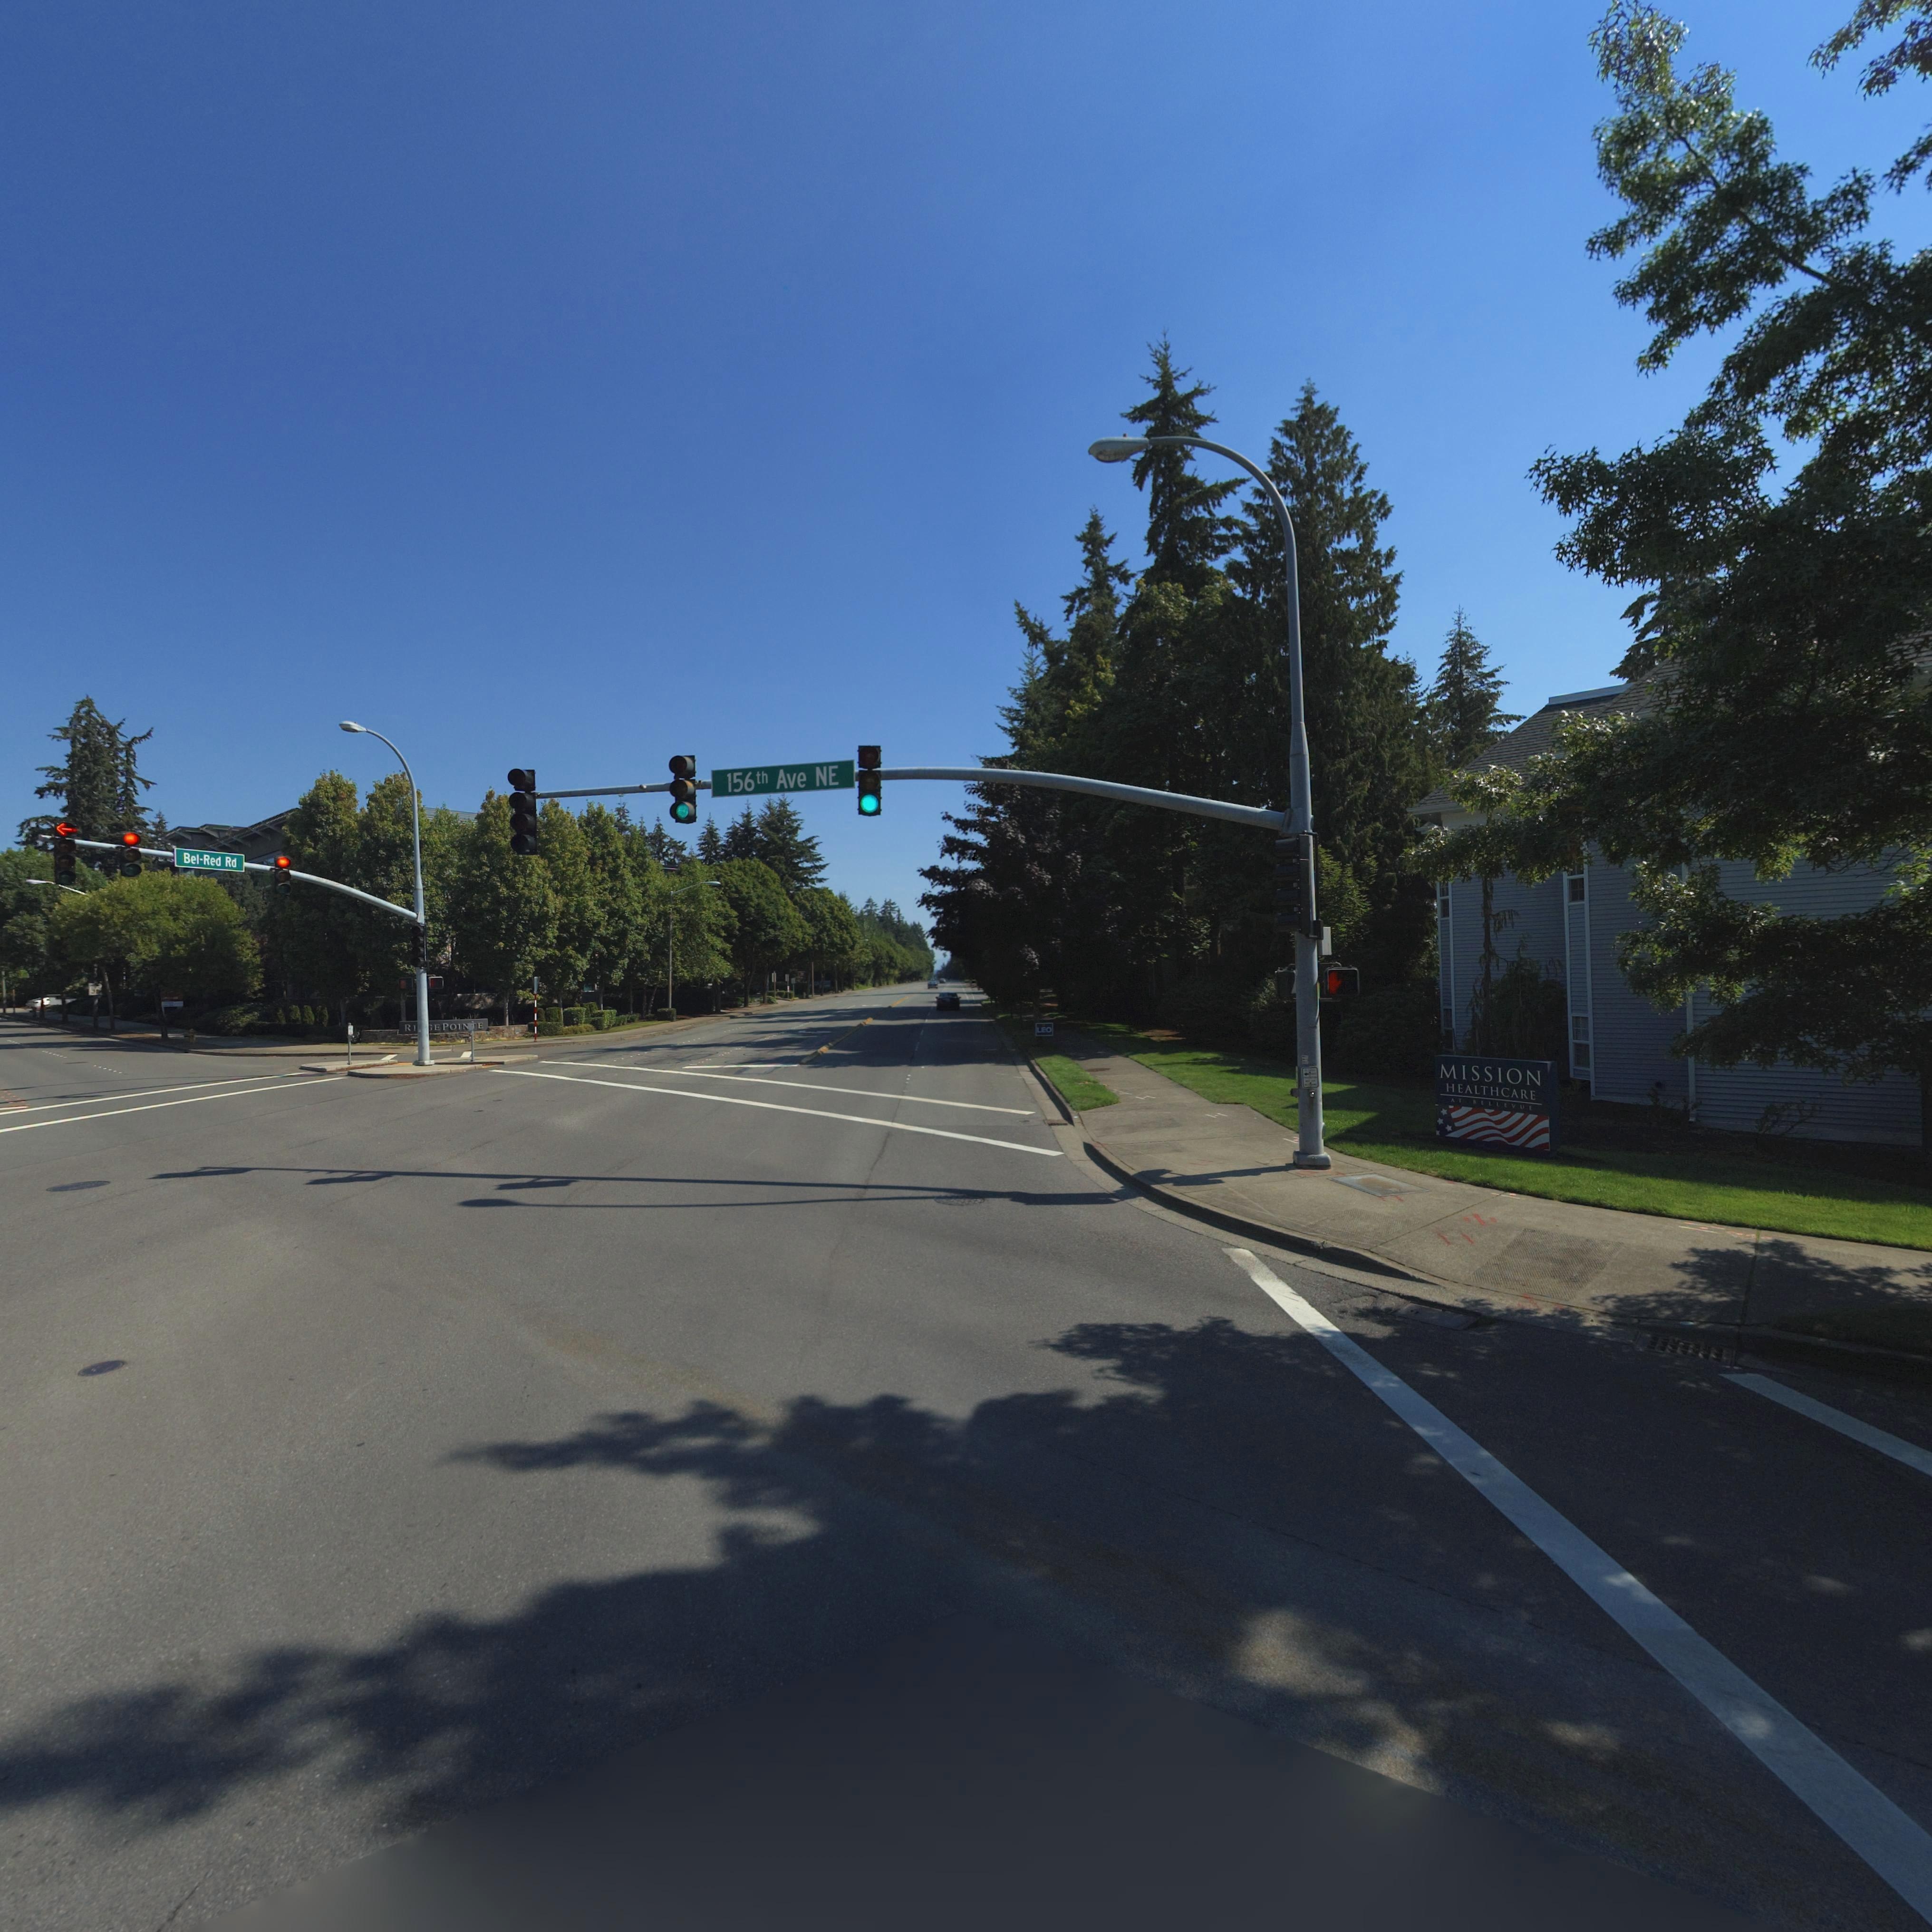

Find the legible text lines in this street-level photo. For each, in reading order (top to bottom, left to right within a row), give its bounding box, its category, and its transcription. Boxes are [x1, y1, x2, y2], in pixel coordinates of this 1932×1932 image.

[723, 762, 849, 795] StreetName: 156th Ave 
[182, 850, 240, 869] StreetName: Bel-Red Rd
[1438, 1061, 1544, 1089] SecondaryUnitDesignator: MISSION
[1447, 1083, 1535, 1100] BusinessName: HEALTHCARE
[1446, 1083, 1536, 1100] BusinessName: HEALTH CARIE